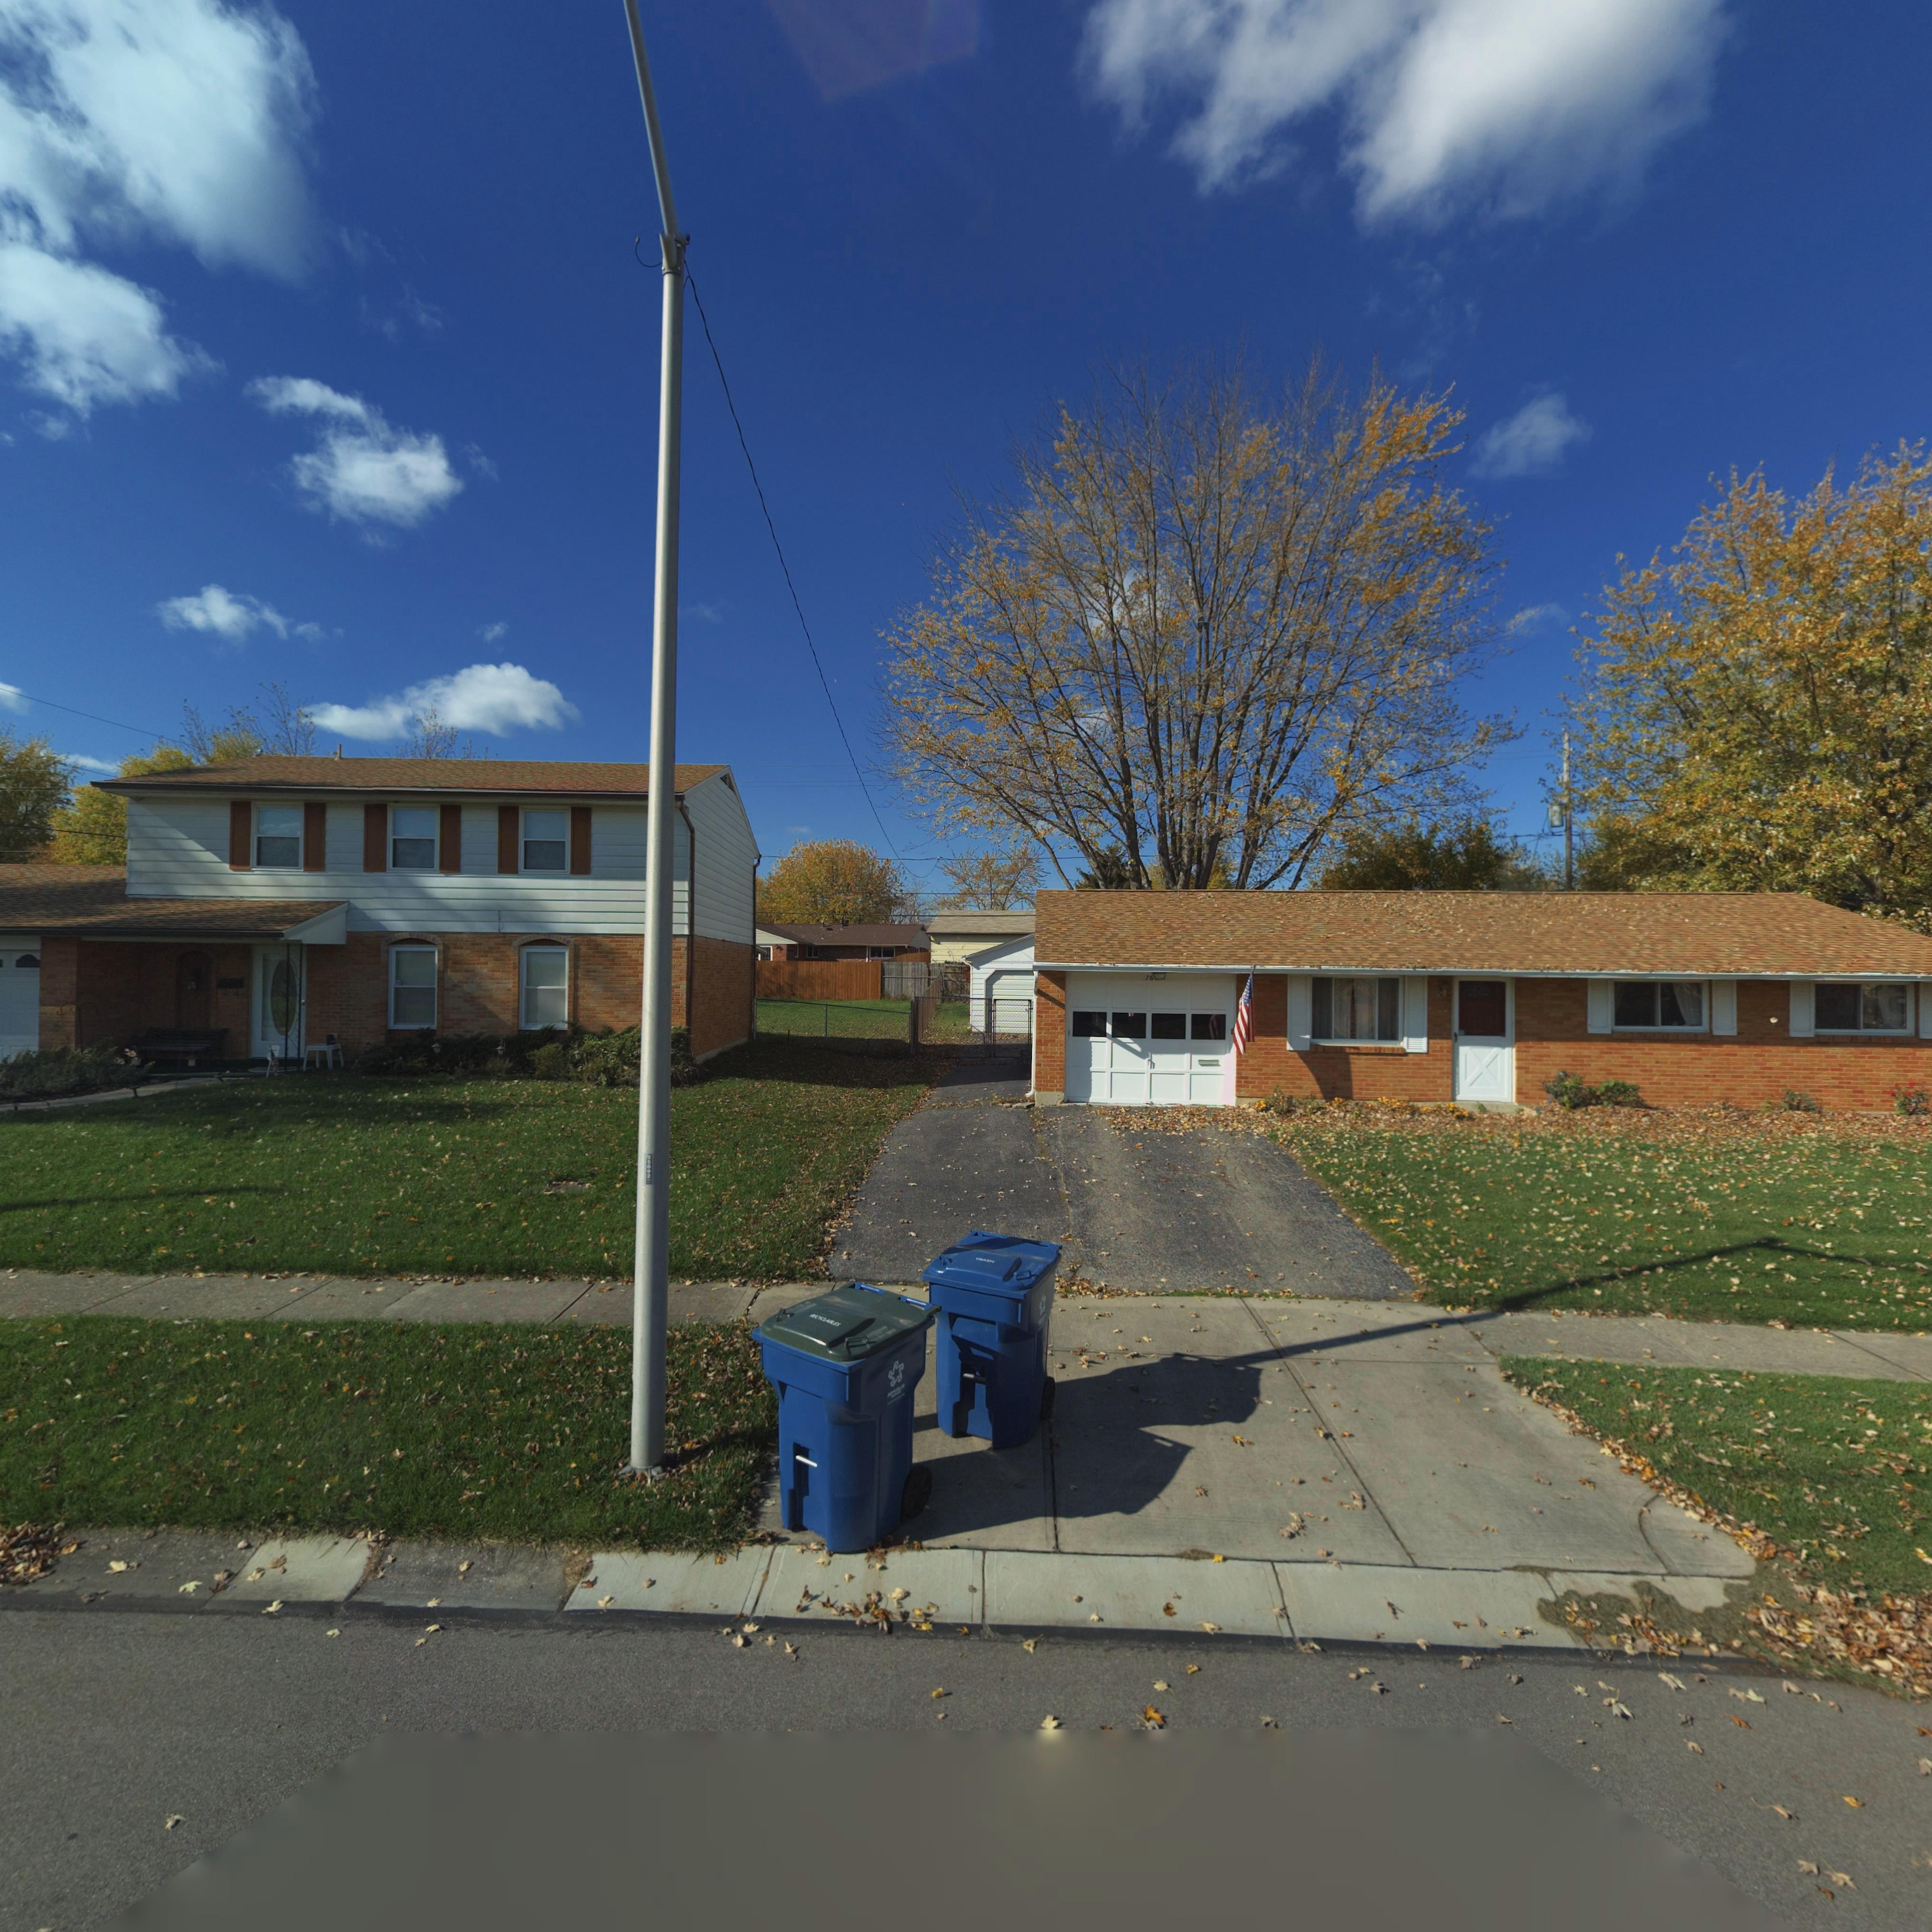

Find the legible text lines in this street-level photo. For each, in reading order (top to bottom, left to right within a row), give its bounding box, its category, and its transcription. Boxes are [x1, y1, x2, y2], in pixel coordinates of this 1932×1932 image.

[1144, 974, 1155, 982] StreetNumber: 76